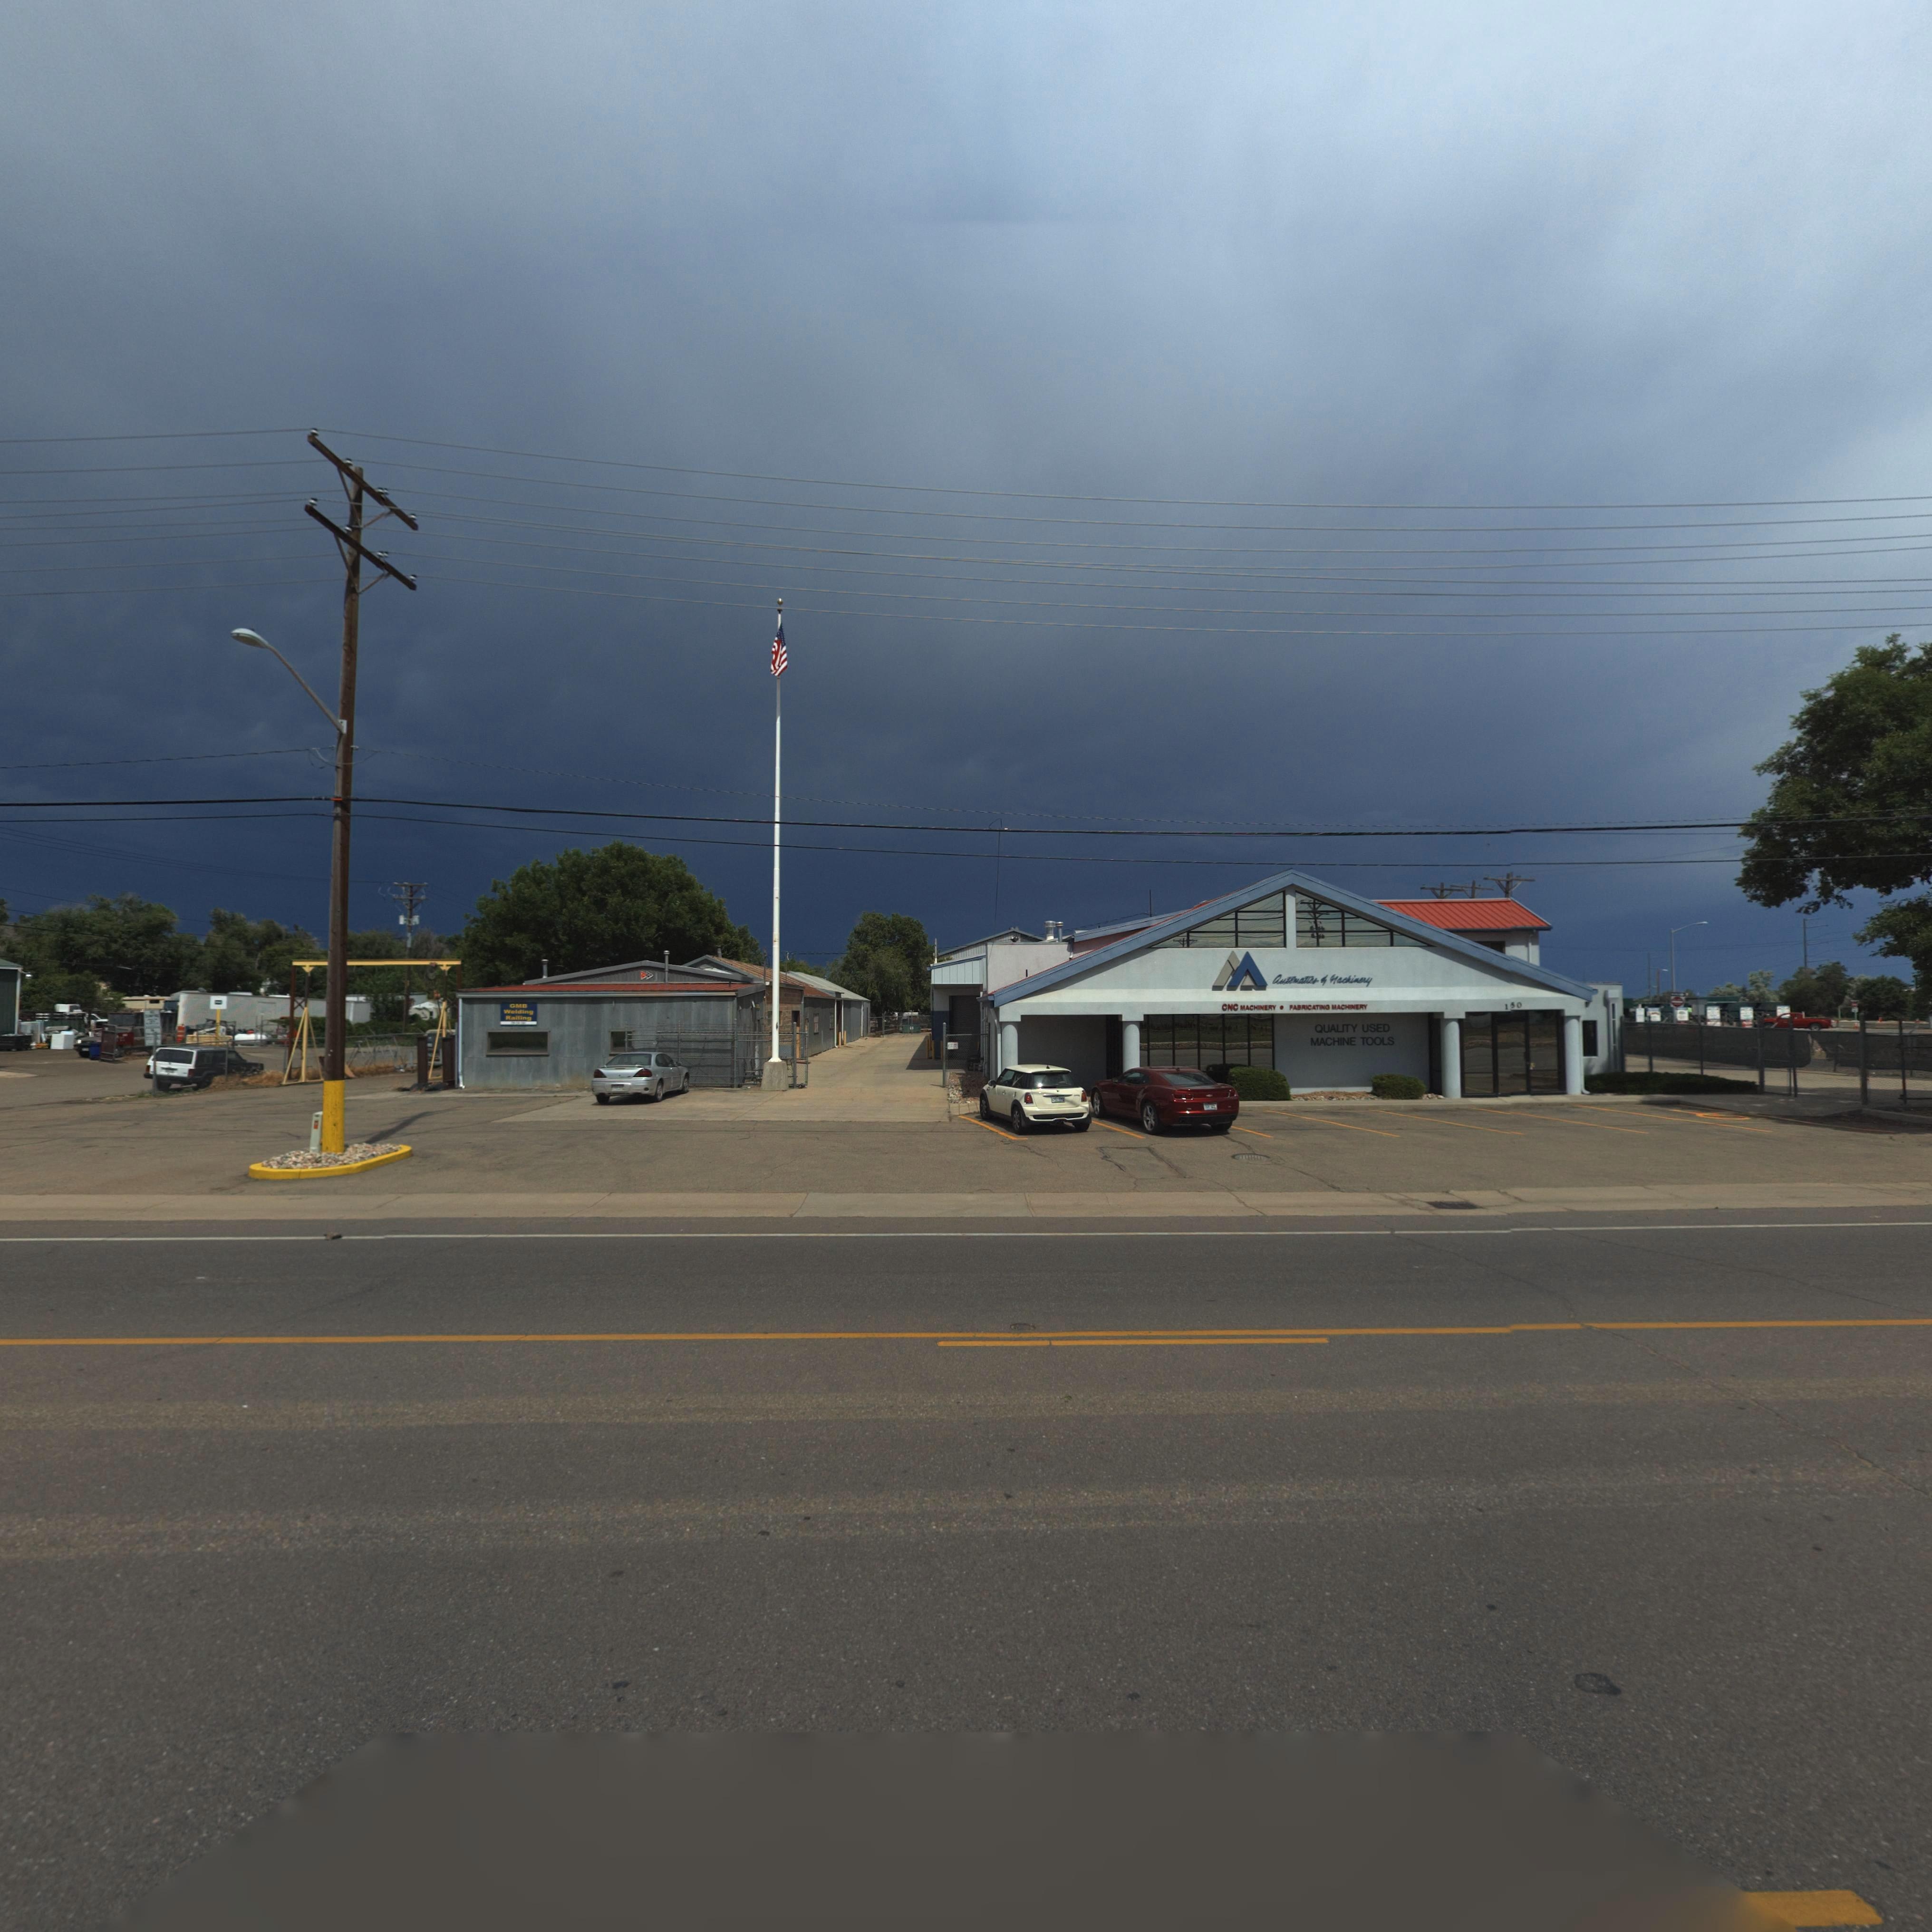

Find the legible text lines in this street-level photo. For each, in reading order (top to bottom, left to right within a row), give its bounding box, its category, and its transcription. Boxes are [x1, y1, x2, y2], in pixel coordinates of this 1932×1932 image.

[1270, 973, 1375, 988] BusinessName: Automaticws of Machinery
[509, 1003, 528, 1008] BusinessName: GMB
[1504, 1001, 1522, 1010] StreetNumber: 150
[502, 1008, 534, 1015] BusinessName: Welding
[504, 1014, 532, 1022] BusinessName: Railing